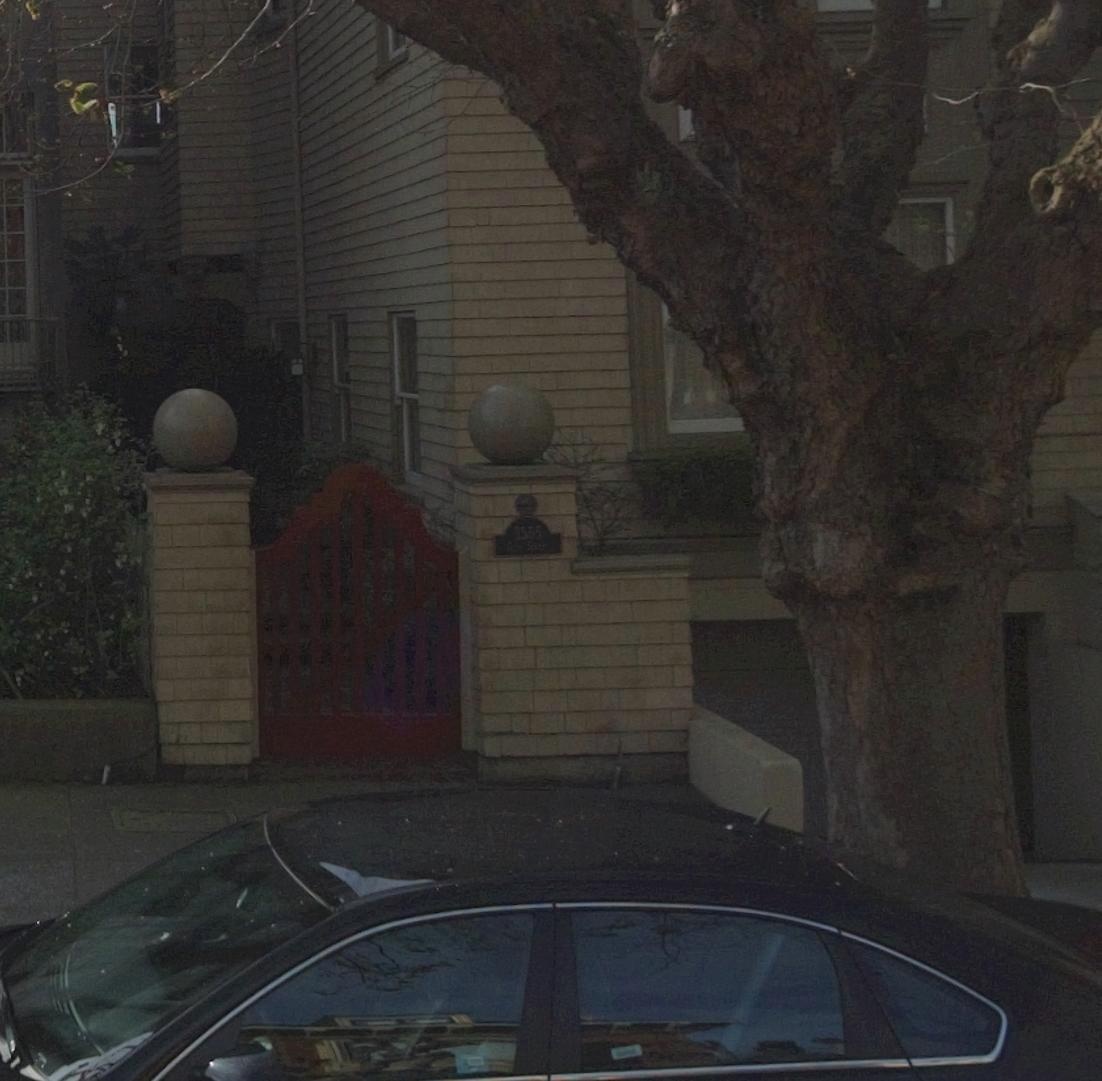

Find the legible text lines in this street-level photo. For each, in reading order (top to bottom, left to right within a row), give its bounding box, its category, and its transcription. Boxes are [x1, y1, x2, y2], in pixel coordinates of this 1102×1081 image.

[512, 523, 544, 542] StreetNumber: 355*